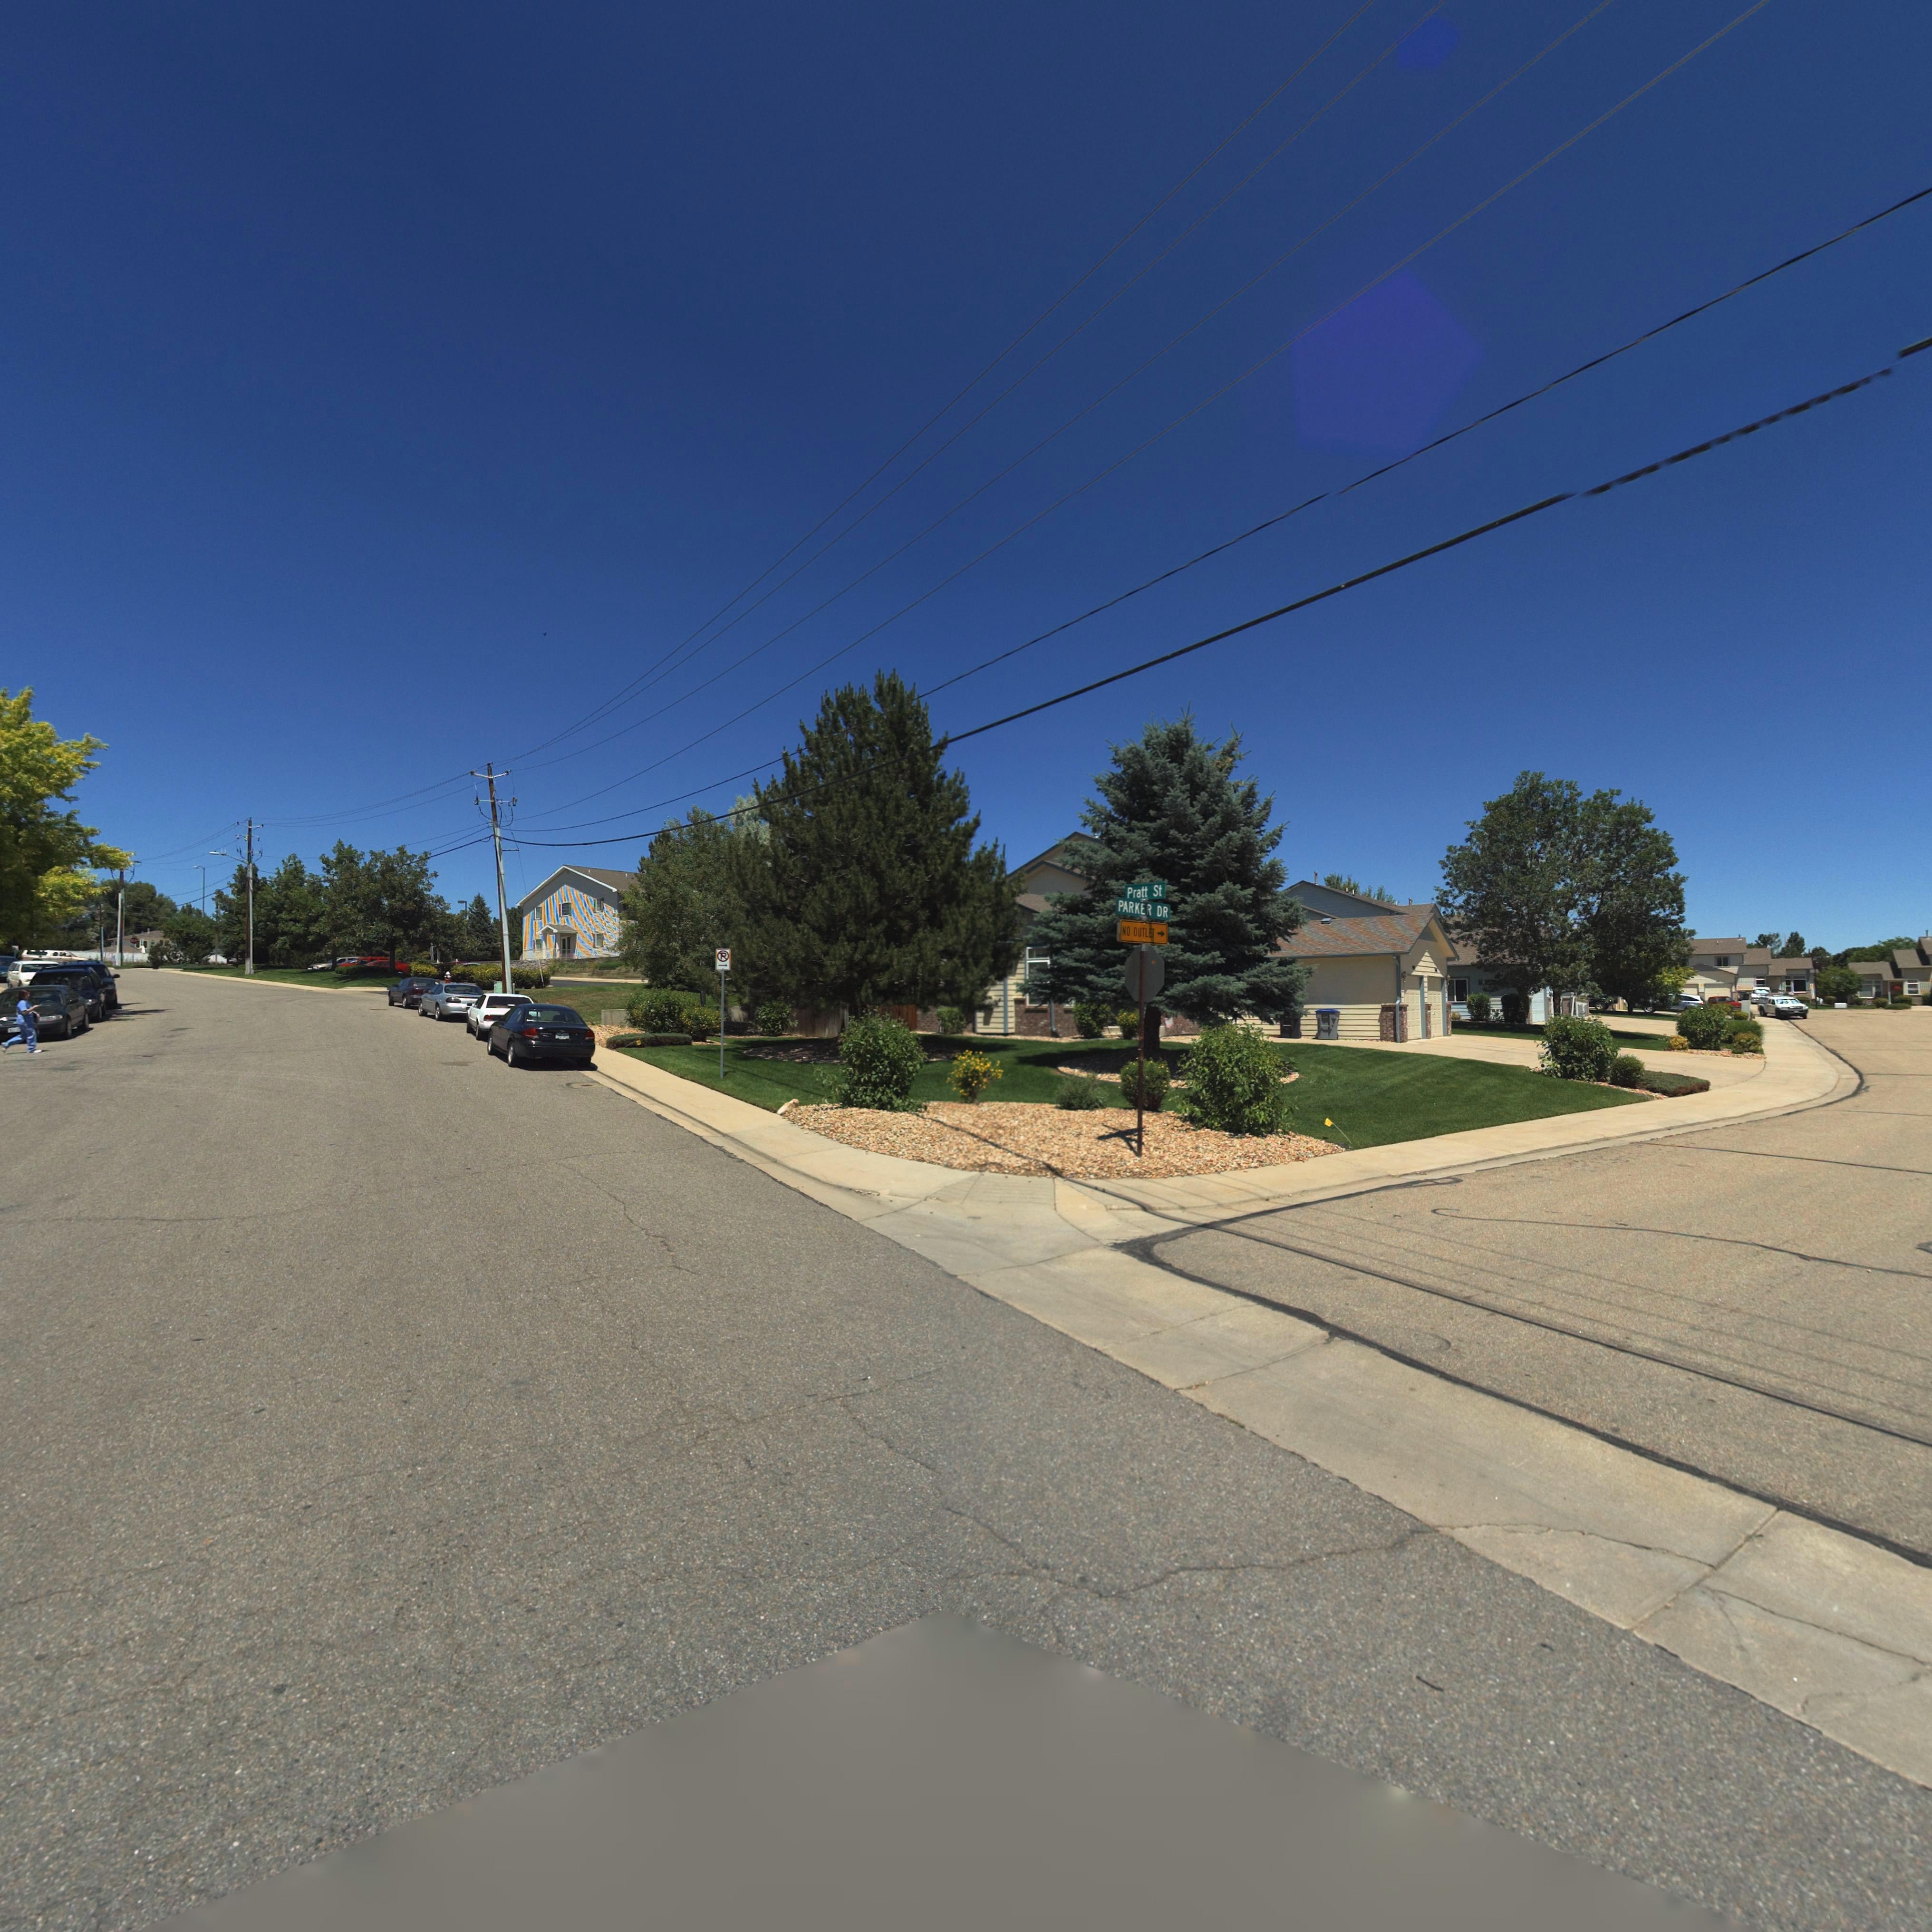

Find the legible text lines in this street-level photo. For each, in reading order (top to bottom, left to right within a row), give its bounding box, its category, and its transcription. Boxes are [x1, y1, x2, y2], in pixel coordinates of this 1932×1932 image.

[1126, 884, 1162, 899] StreetName: Pratt St
[1118, 899, 1169, 918] StreetName: PARKER DR